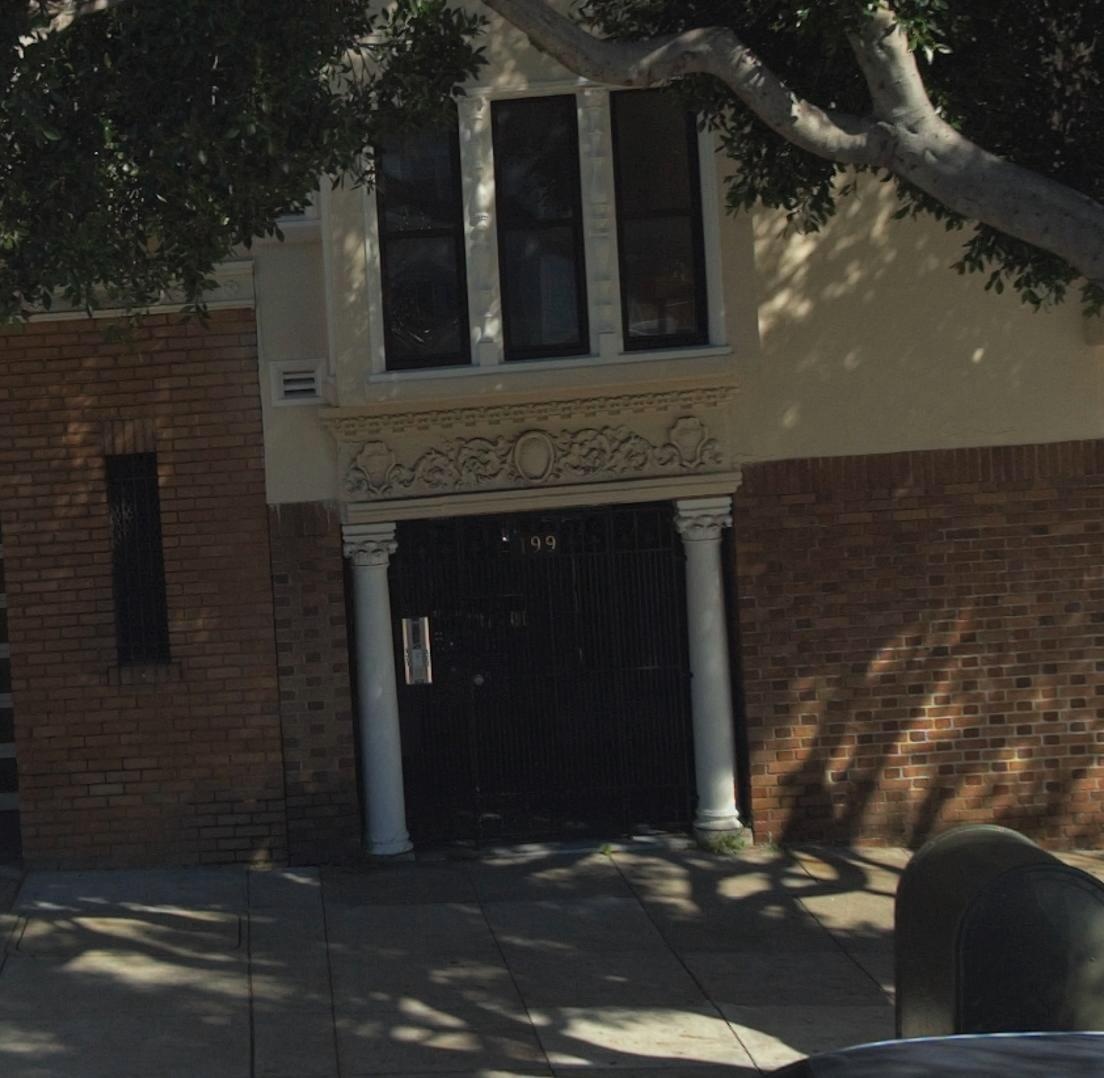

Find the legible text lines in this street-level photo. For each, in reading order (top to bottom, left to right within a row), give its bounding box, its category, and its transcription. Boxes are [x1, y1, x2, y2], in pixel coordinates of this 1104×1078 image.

[517, 532, 559, 557] StreetNumber: 199